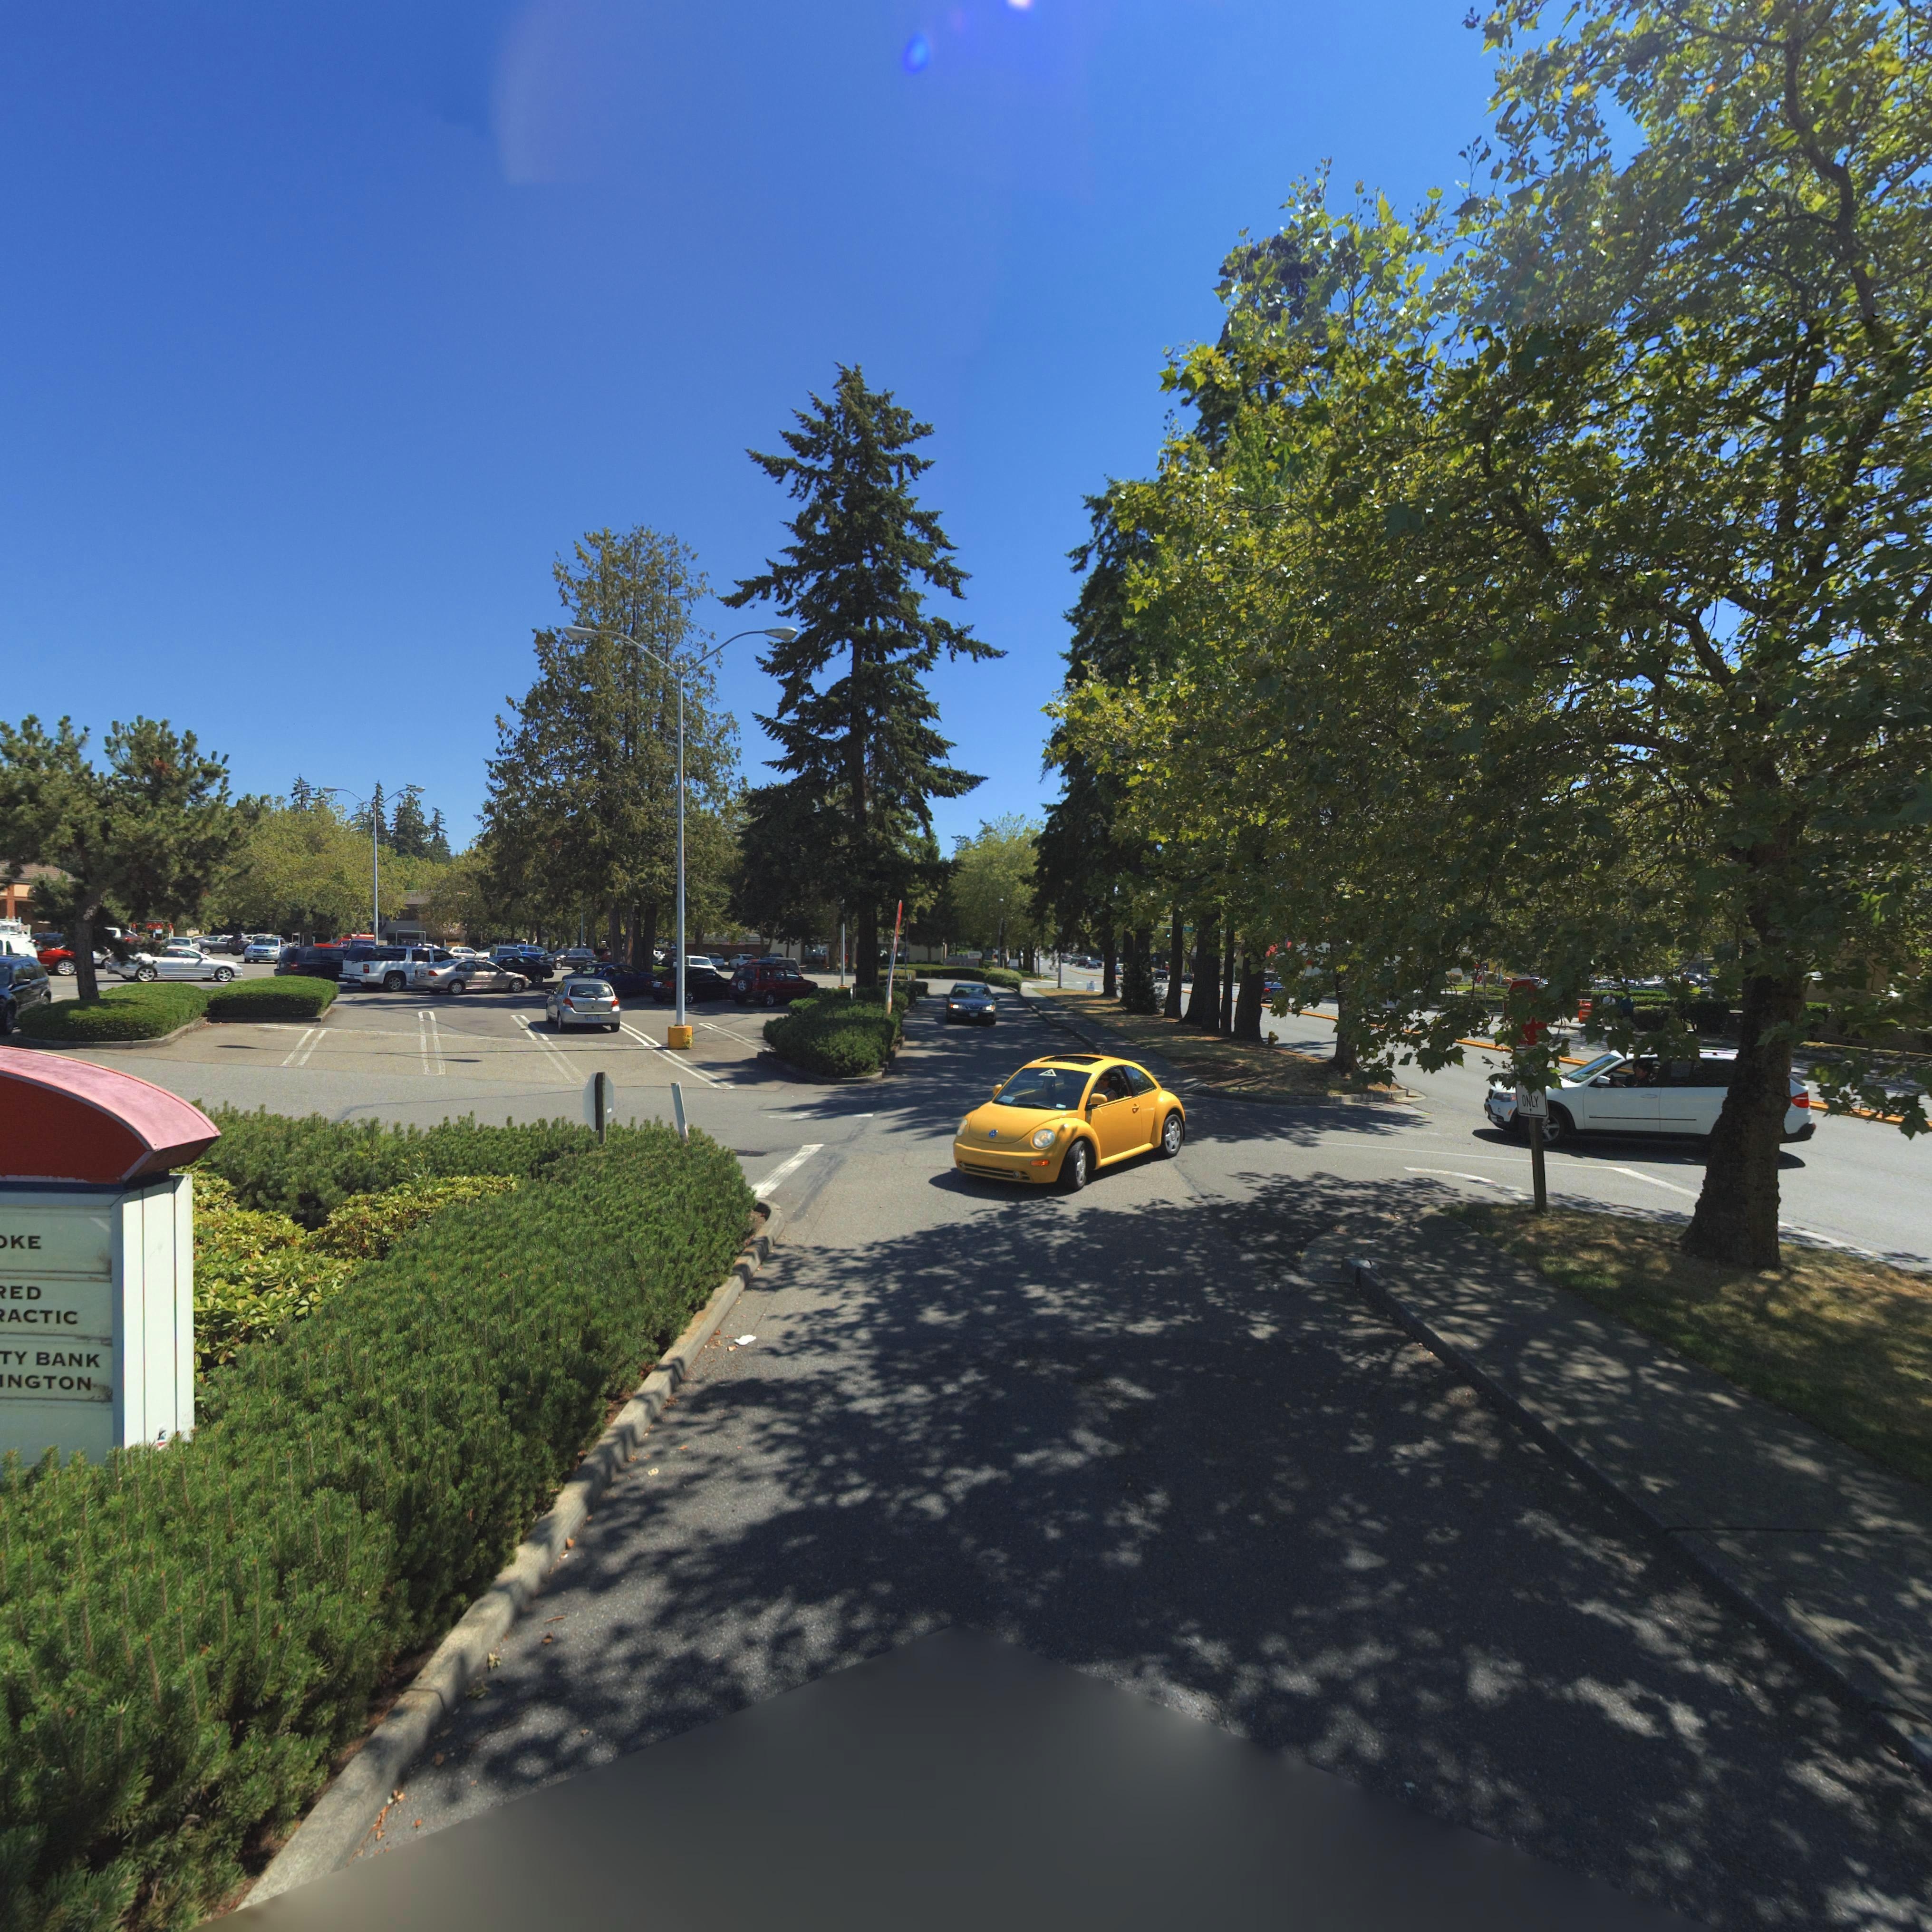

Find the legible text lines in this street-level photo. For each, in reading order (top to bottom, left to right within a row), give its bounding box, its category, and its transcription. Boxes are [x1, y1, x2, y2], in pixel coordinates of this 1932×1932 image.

[8, 1234, 41, 1251] BusinessName: KE
[7, 1284, 43, 1301] BusinessName: ED
[6, 1306, 79, 1326] BusinessName: ACTIC
[0, 1350, 102, 1369] BusinessName: TY BANK
[4, 1372, 92, 1392] BusinessName: NGTON